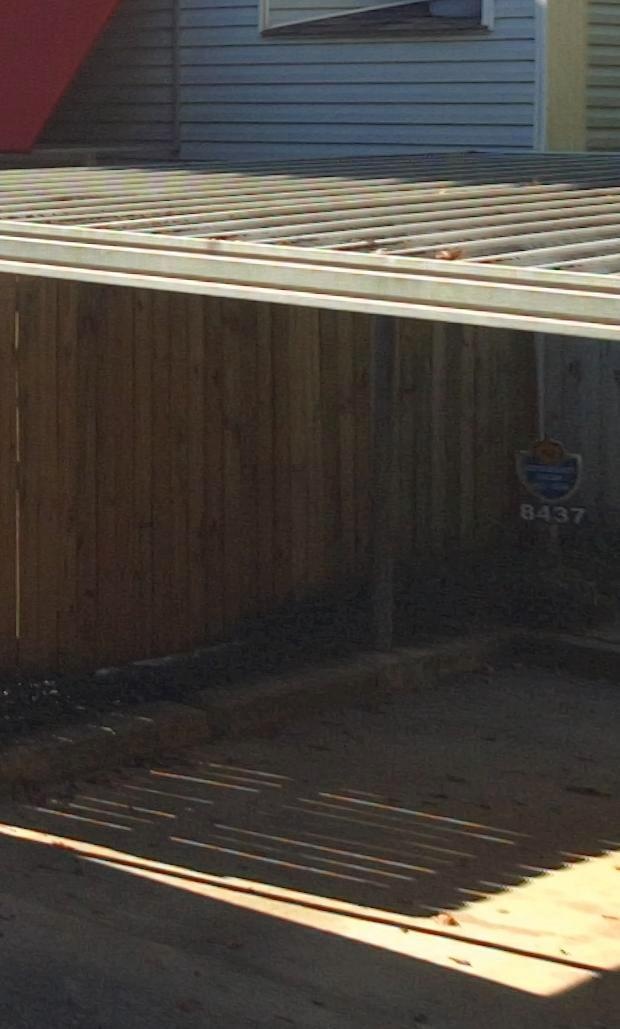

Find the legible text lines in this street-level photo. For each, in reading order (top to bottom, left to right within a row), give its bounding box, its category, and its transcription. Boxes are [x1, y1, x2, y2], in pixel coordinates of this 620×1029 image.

[516, 500, 589, 527] StreetNumber: 8437